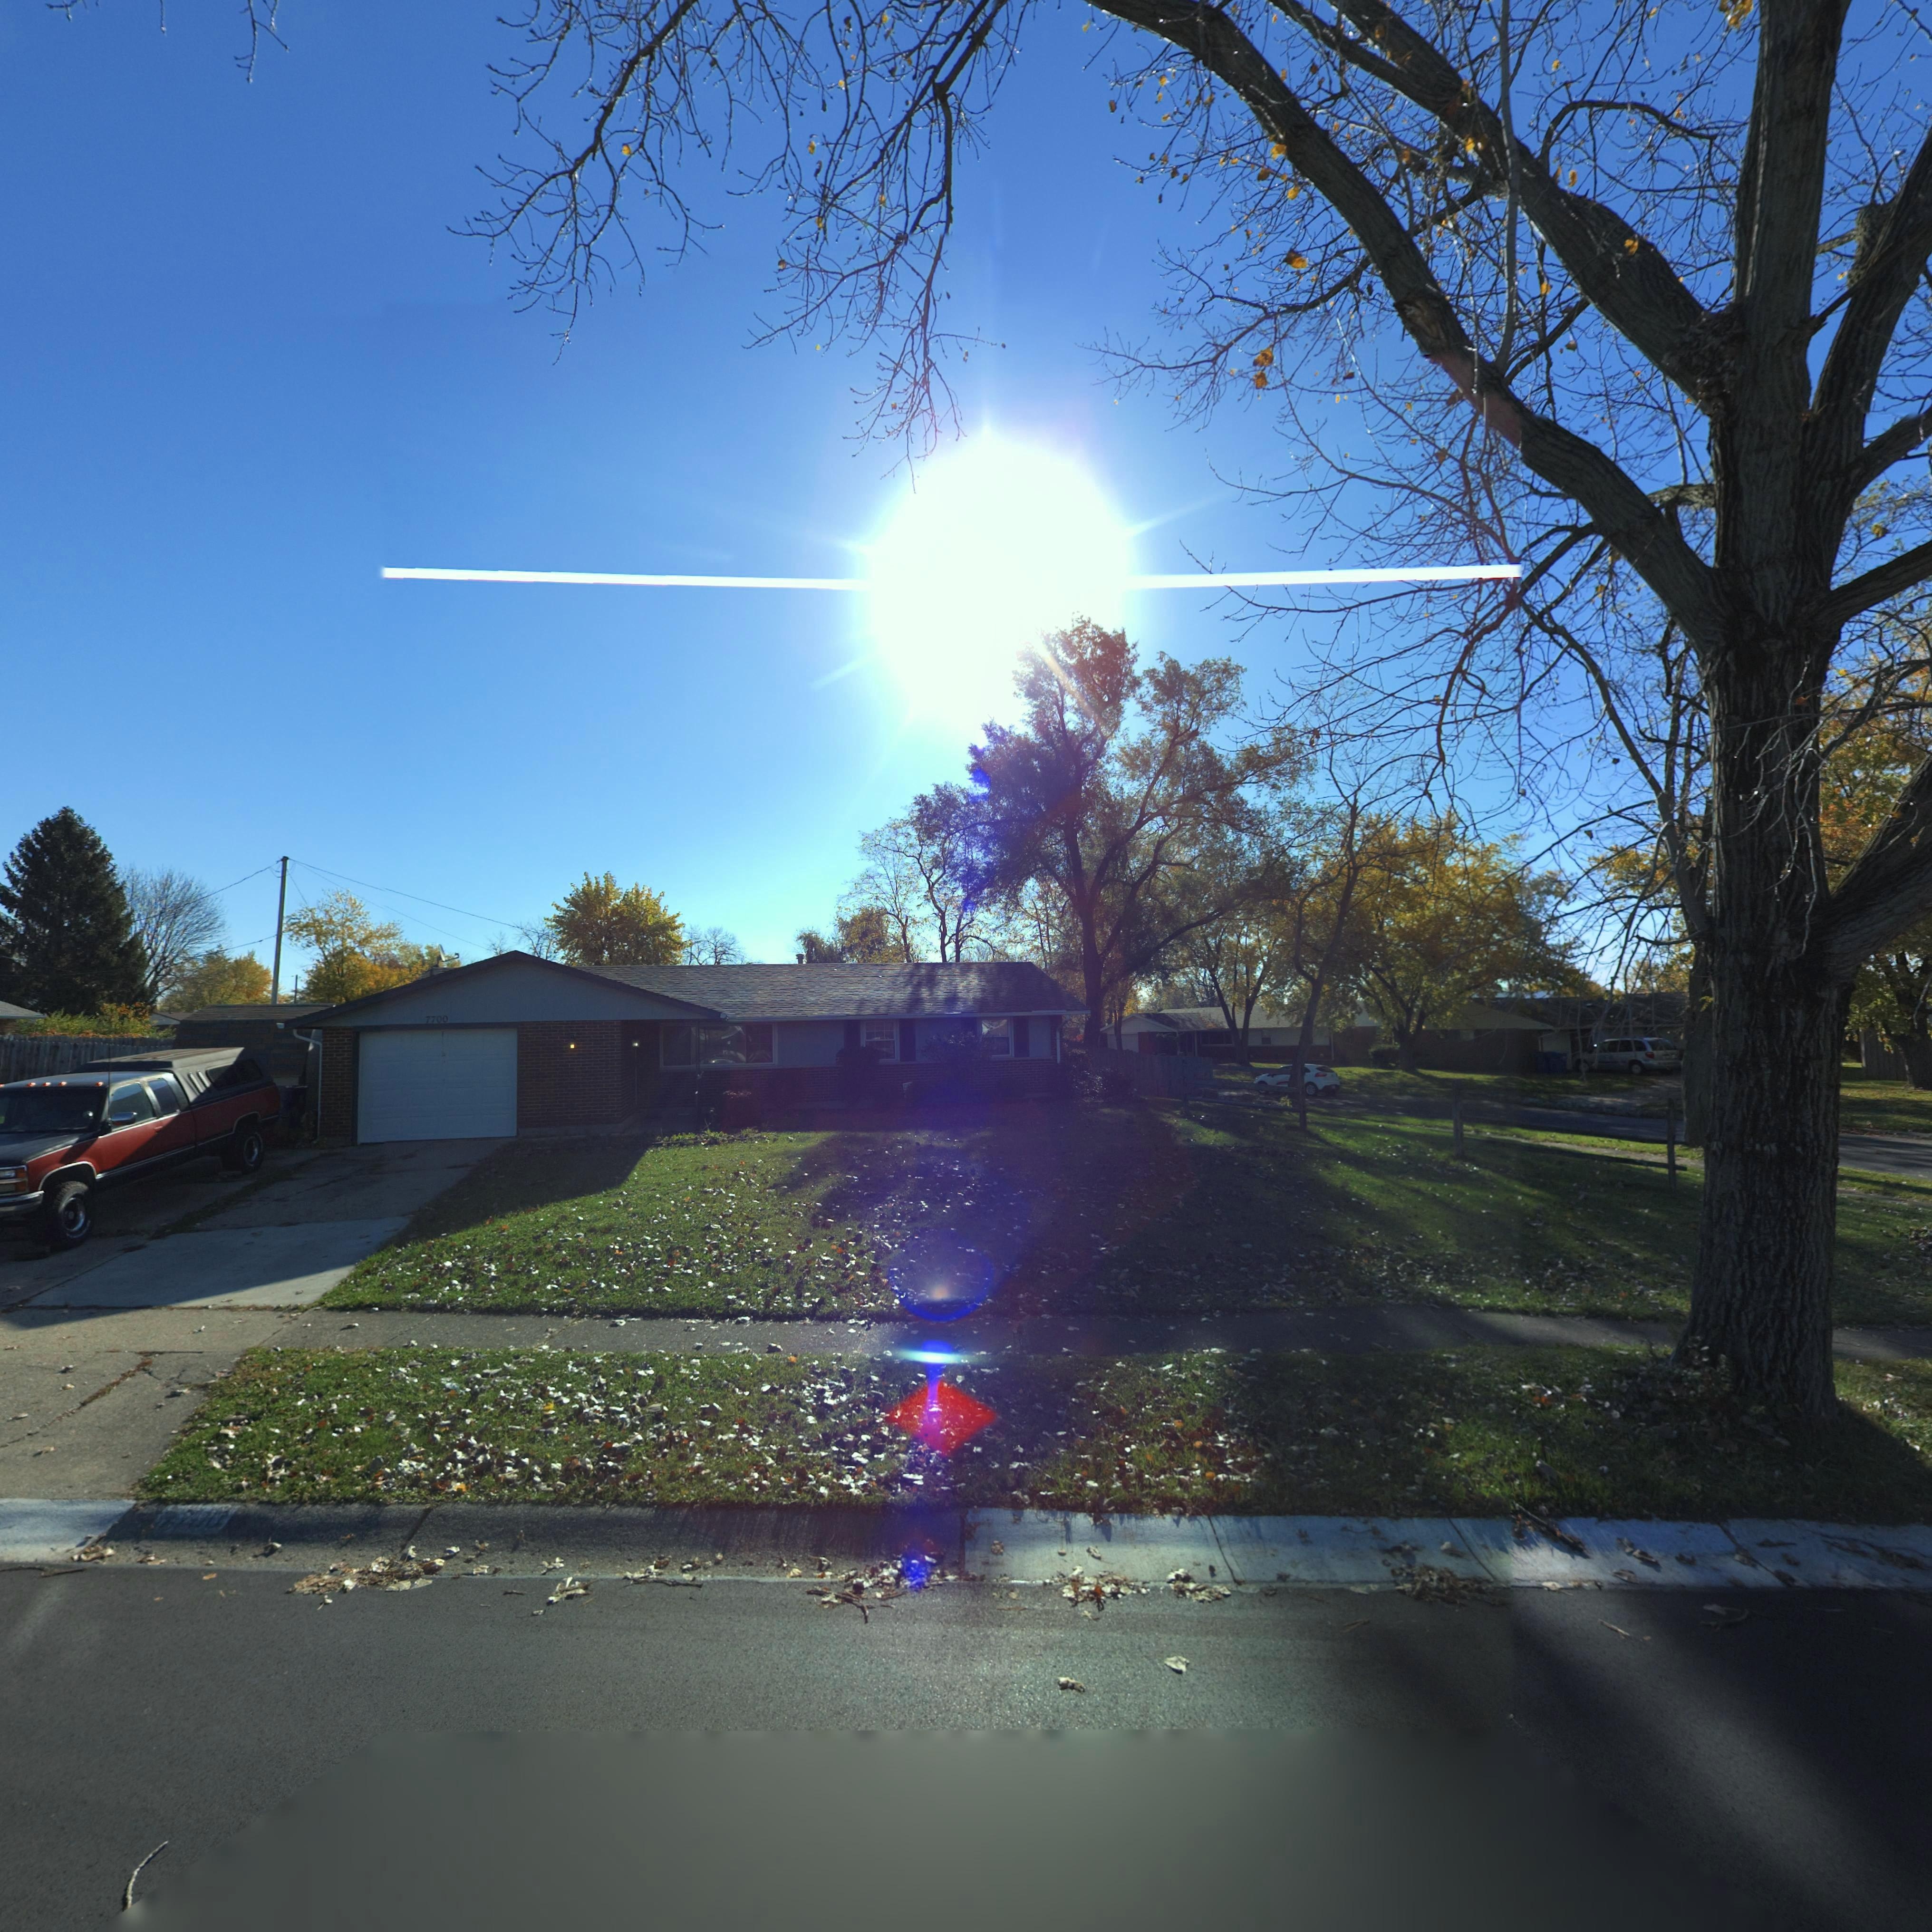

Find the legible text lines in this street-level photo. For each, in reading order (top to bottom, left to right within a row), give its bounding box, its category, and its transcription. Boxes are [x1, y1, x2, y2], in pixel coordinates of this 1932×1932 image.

[424, 1014, 450, 1024] StreetNumber: 7700